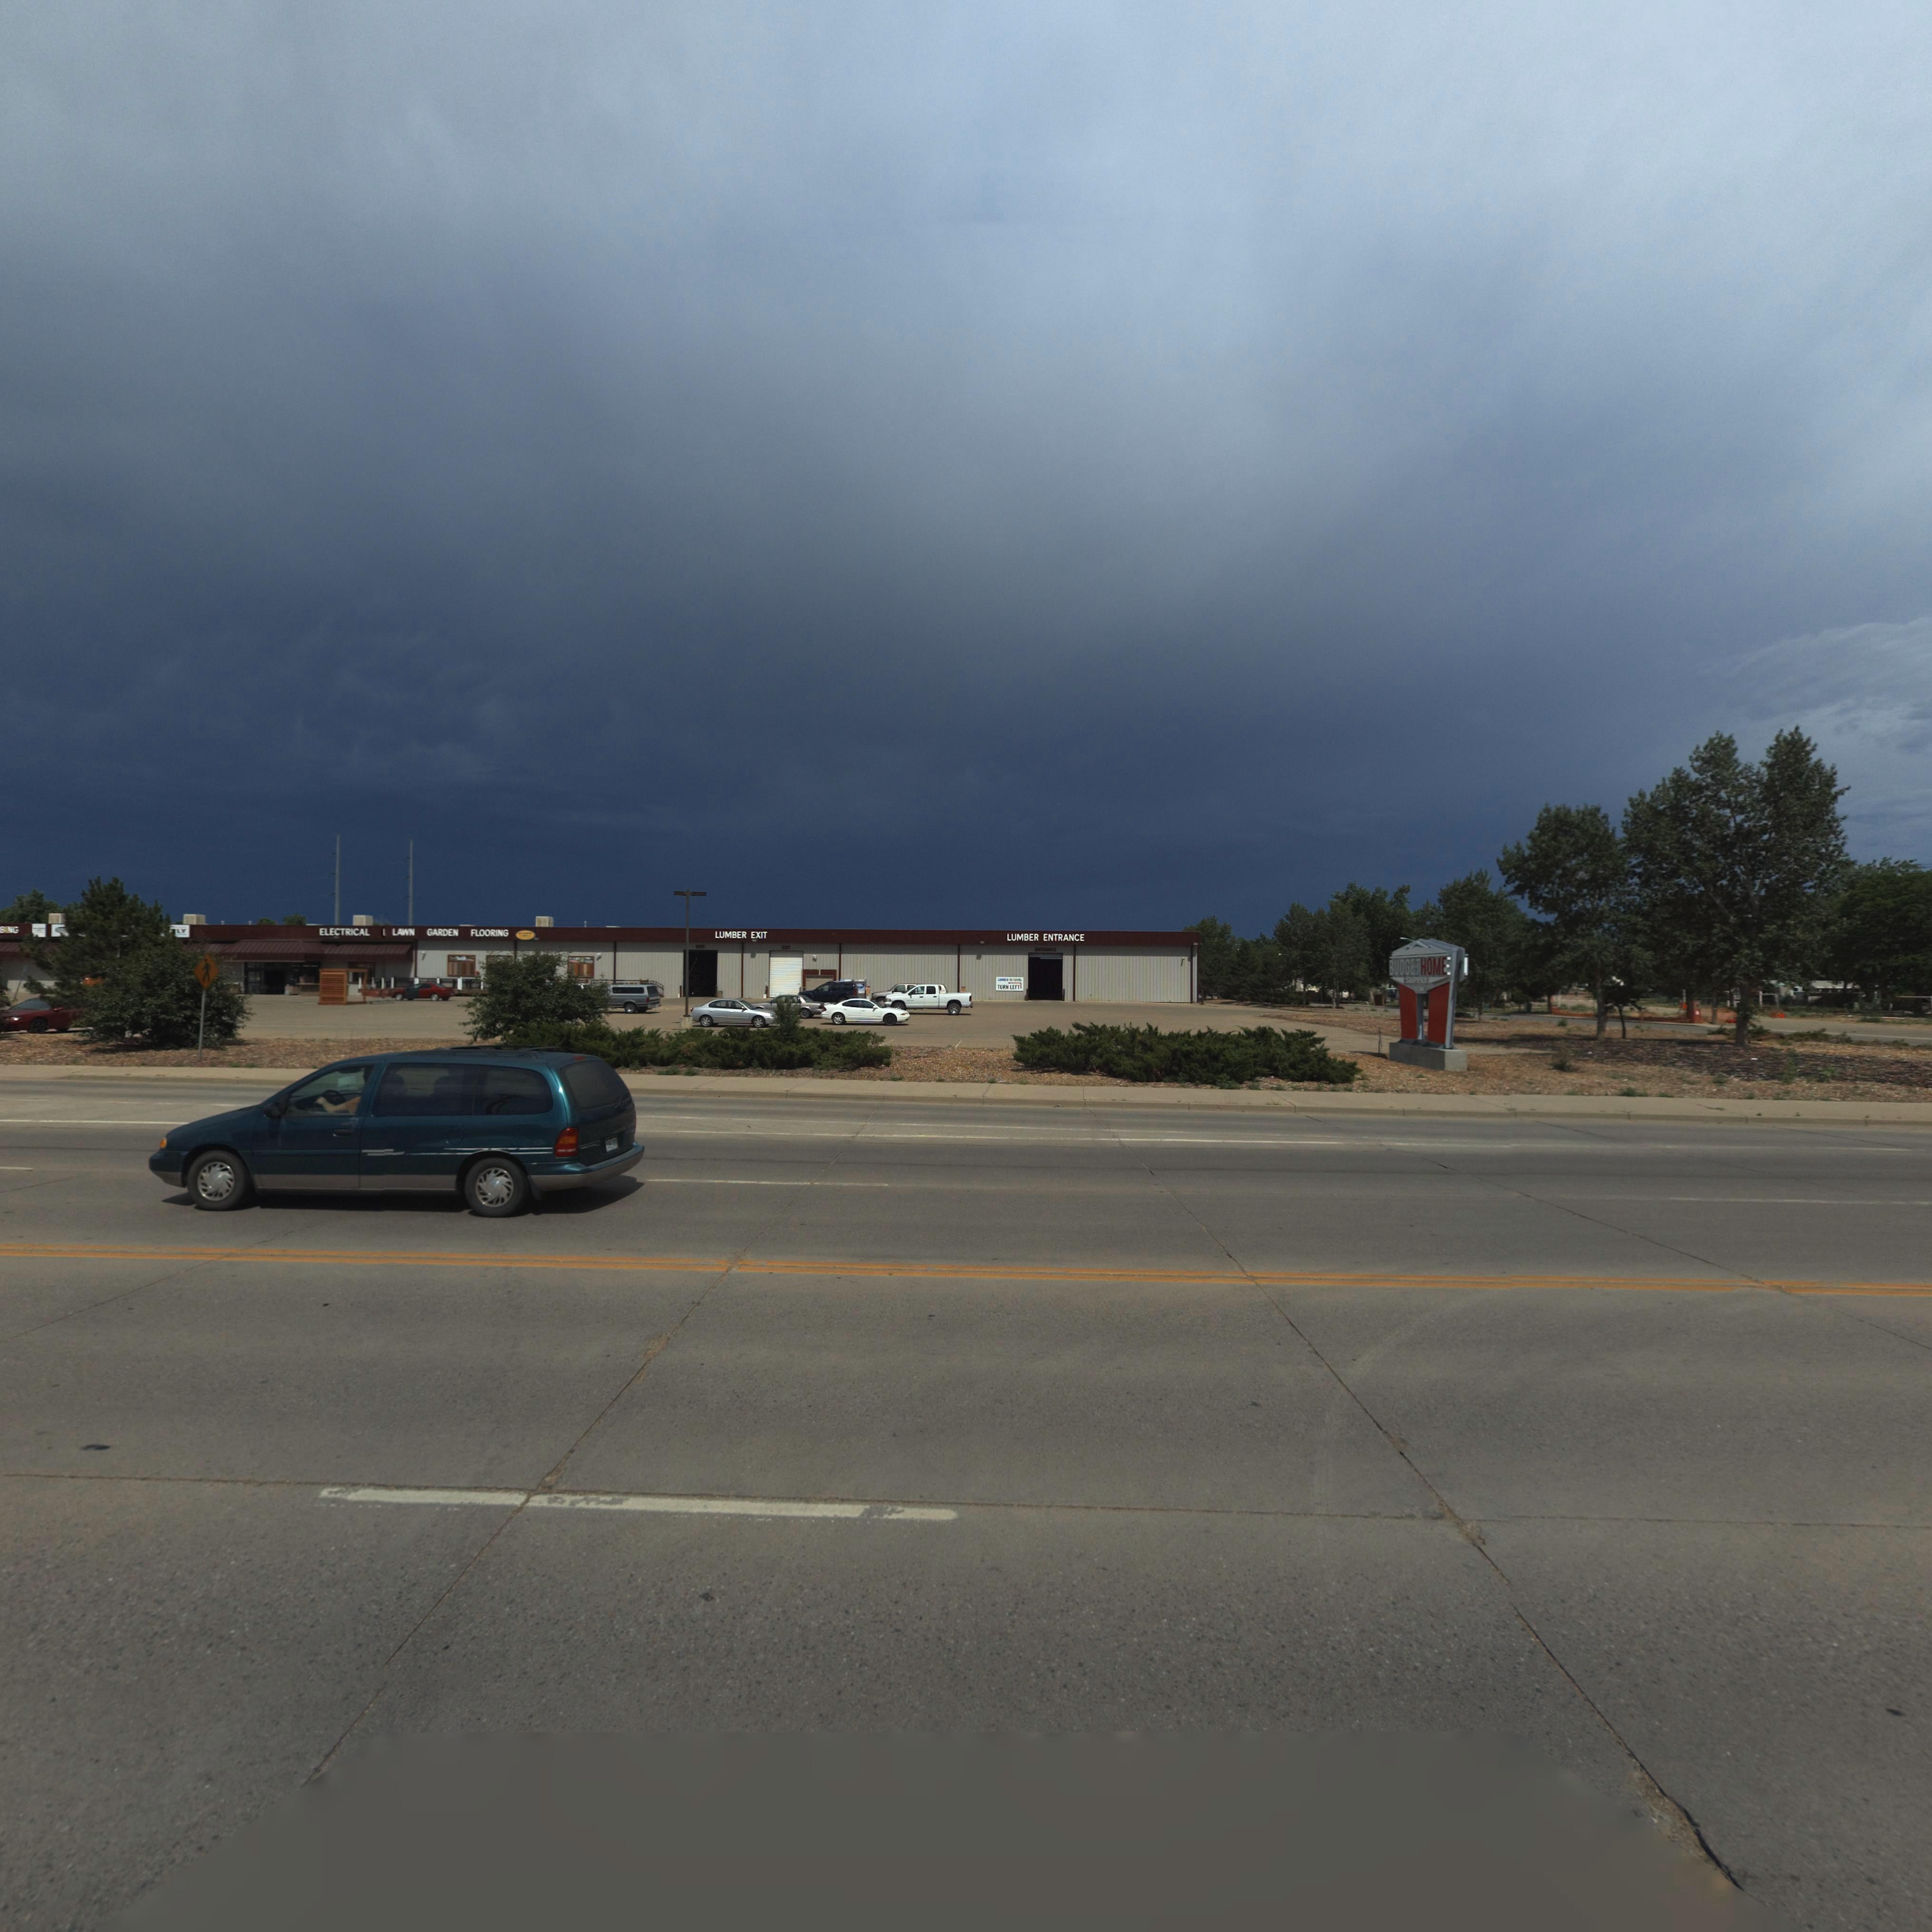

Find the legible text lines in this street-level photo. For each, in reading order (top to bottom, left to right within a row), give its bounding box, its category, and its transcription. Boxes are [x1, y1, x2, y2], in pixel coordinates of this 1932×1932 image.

[1389, 956, 1451, 975] BusinessName: BUDGETHOME
[1404, 976, 1428, 983] BusinessName: SUPPLY